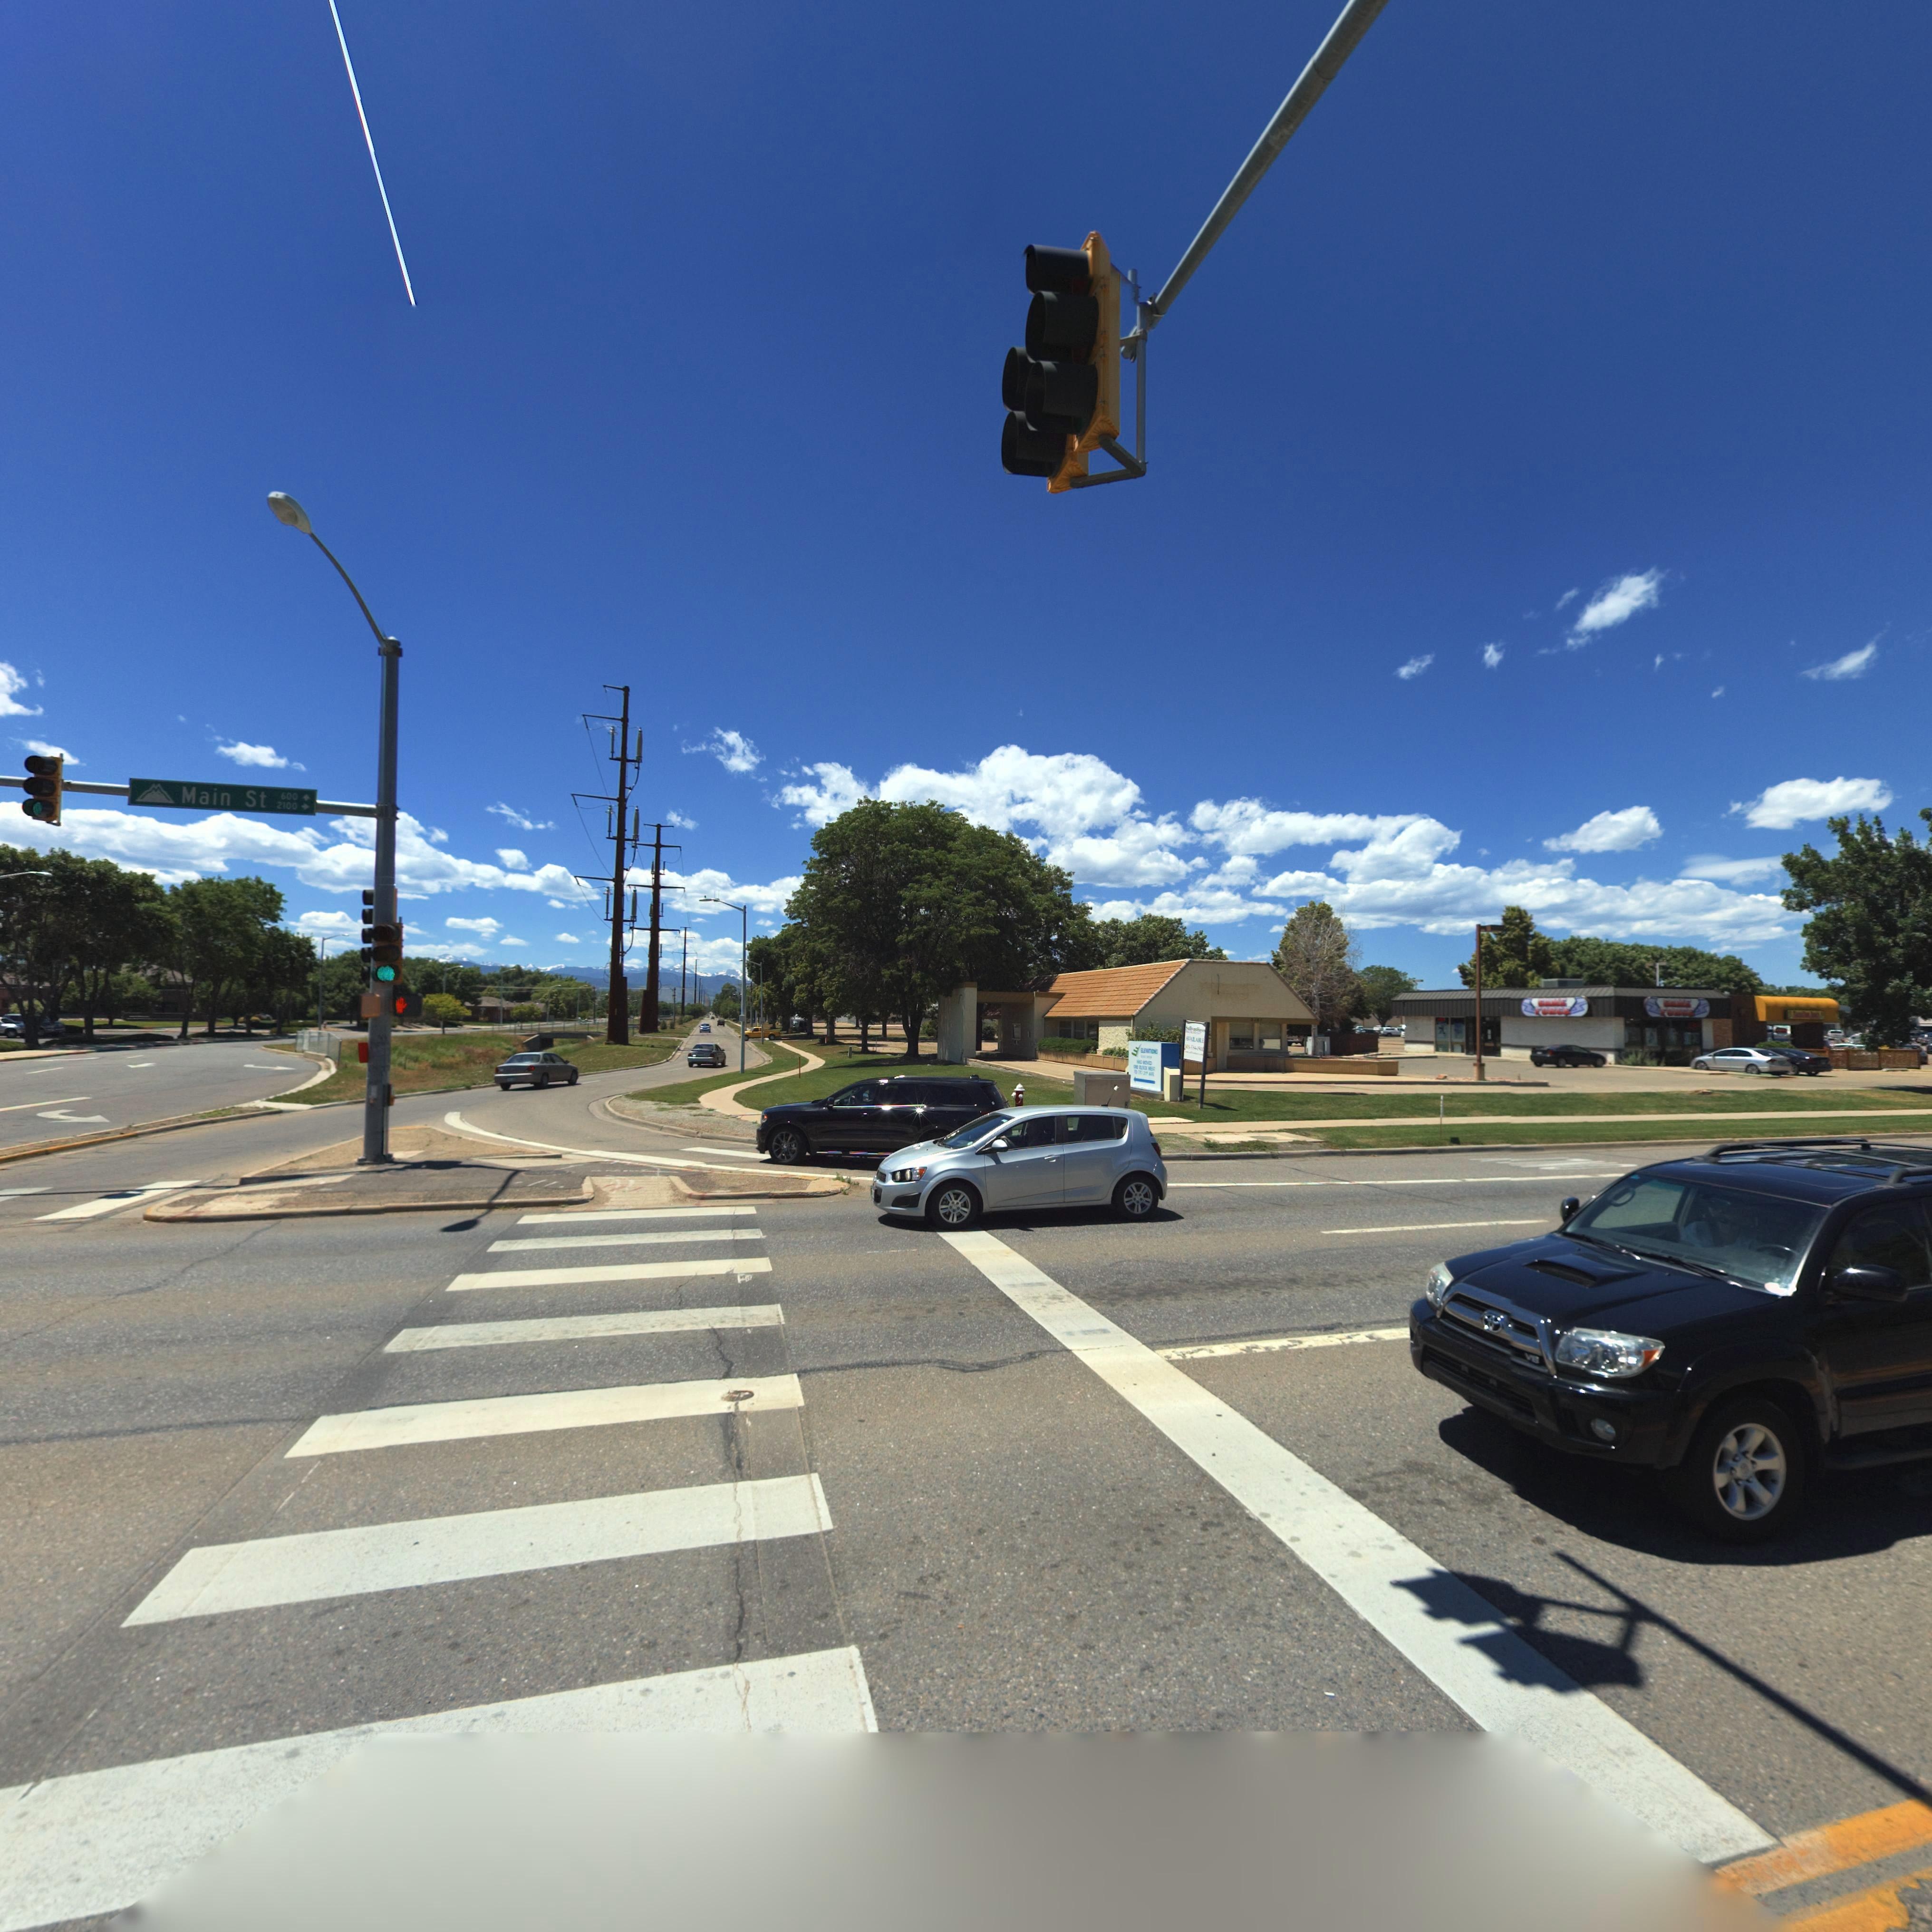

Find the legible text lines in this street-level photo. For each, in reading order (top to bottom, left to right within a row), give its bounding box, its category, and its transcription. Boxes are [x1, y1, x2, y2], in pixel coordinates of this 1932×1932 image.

[181, 785, 267, 809] StreetName: Mains St
[280, 791, 299, 800] StreetNumberRange: 600
[276, 800, 310, 810] StreetNumber: 2100->
[1538, 997, 1567, 1006] BusinessName: GAME
[1663, 997, 1692, 1007] BusinessName: GAME
[1535, 1006, 1572, 1015] BusinessName: FORCE
[1659, 1006, 1695, 1016] BusinessName: FORCE
[1140, 1047, 1158, 1054] BusinessName: ELEVATIONS